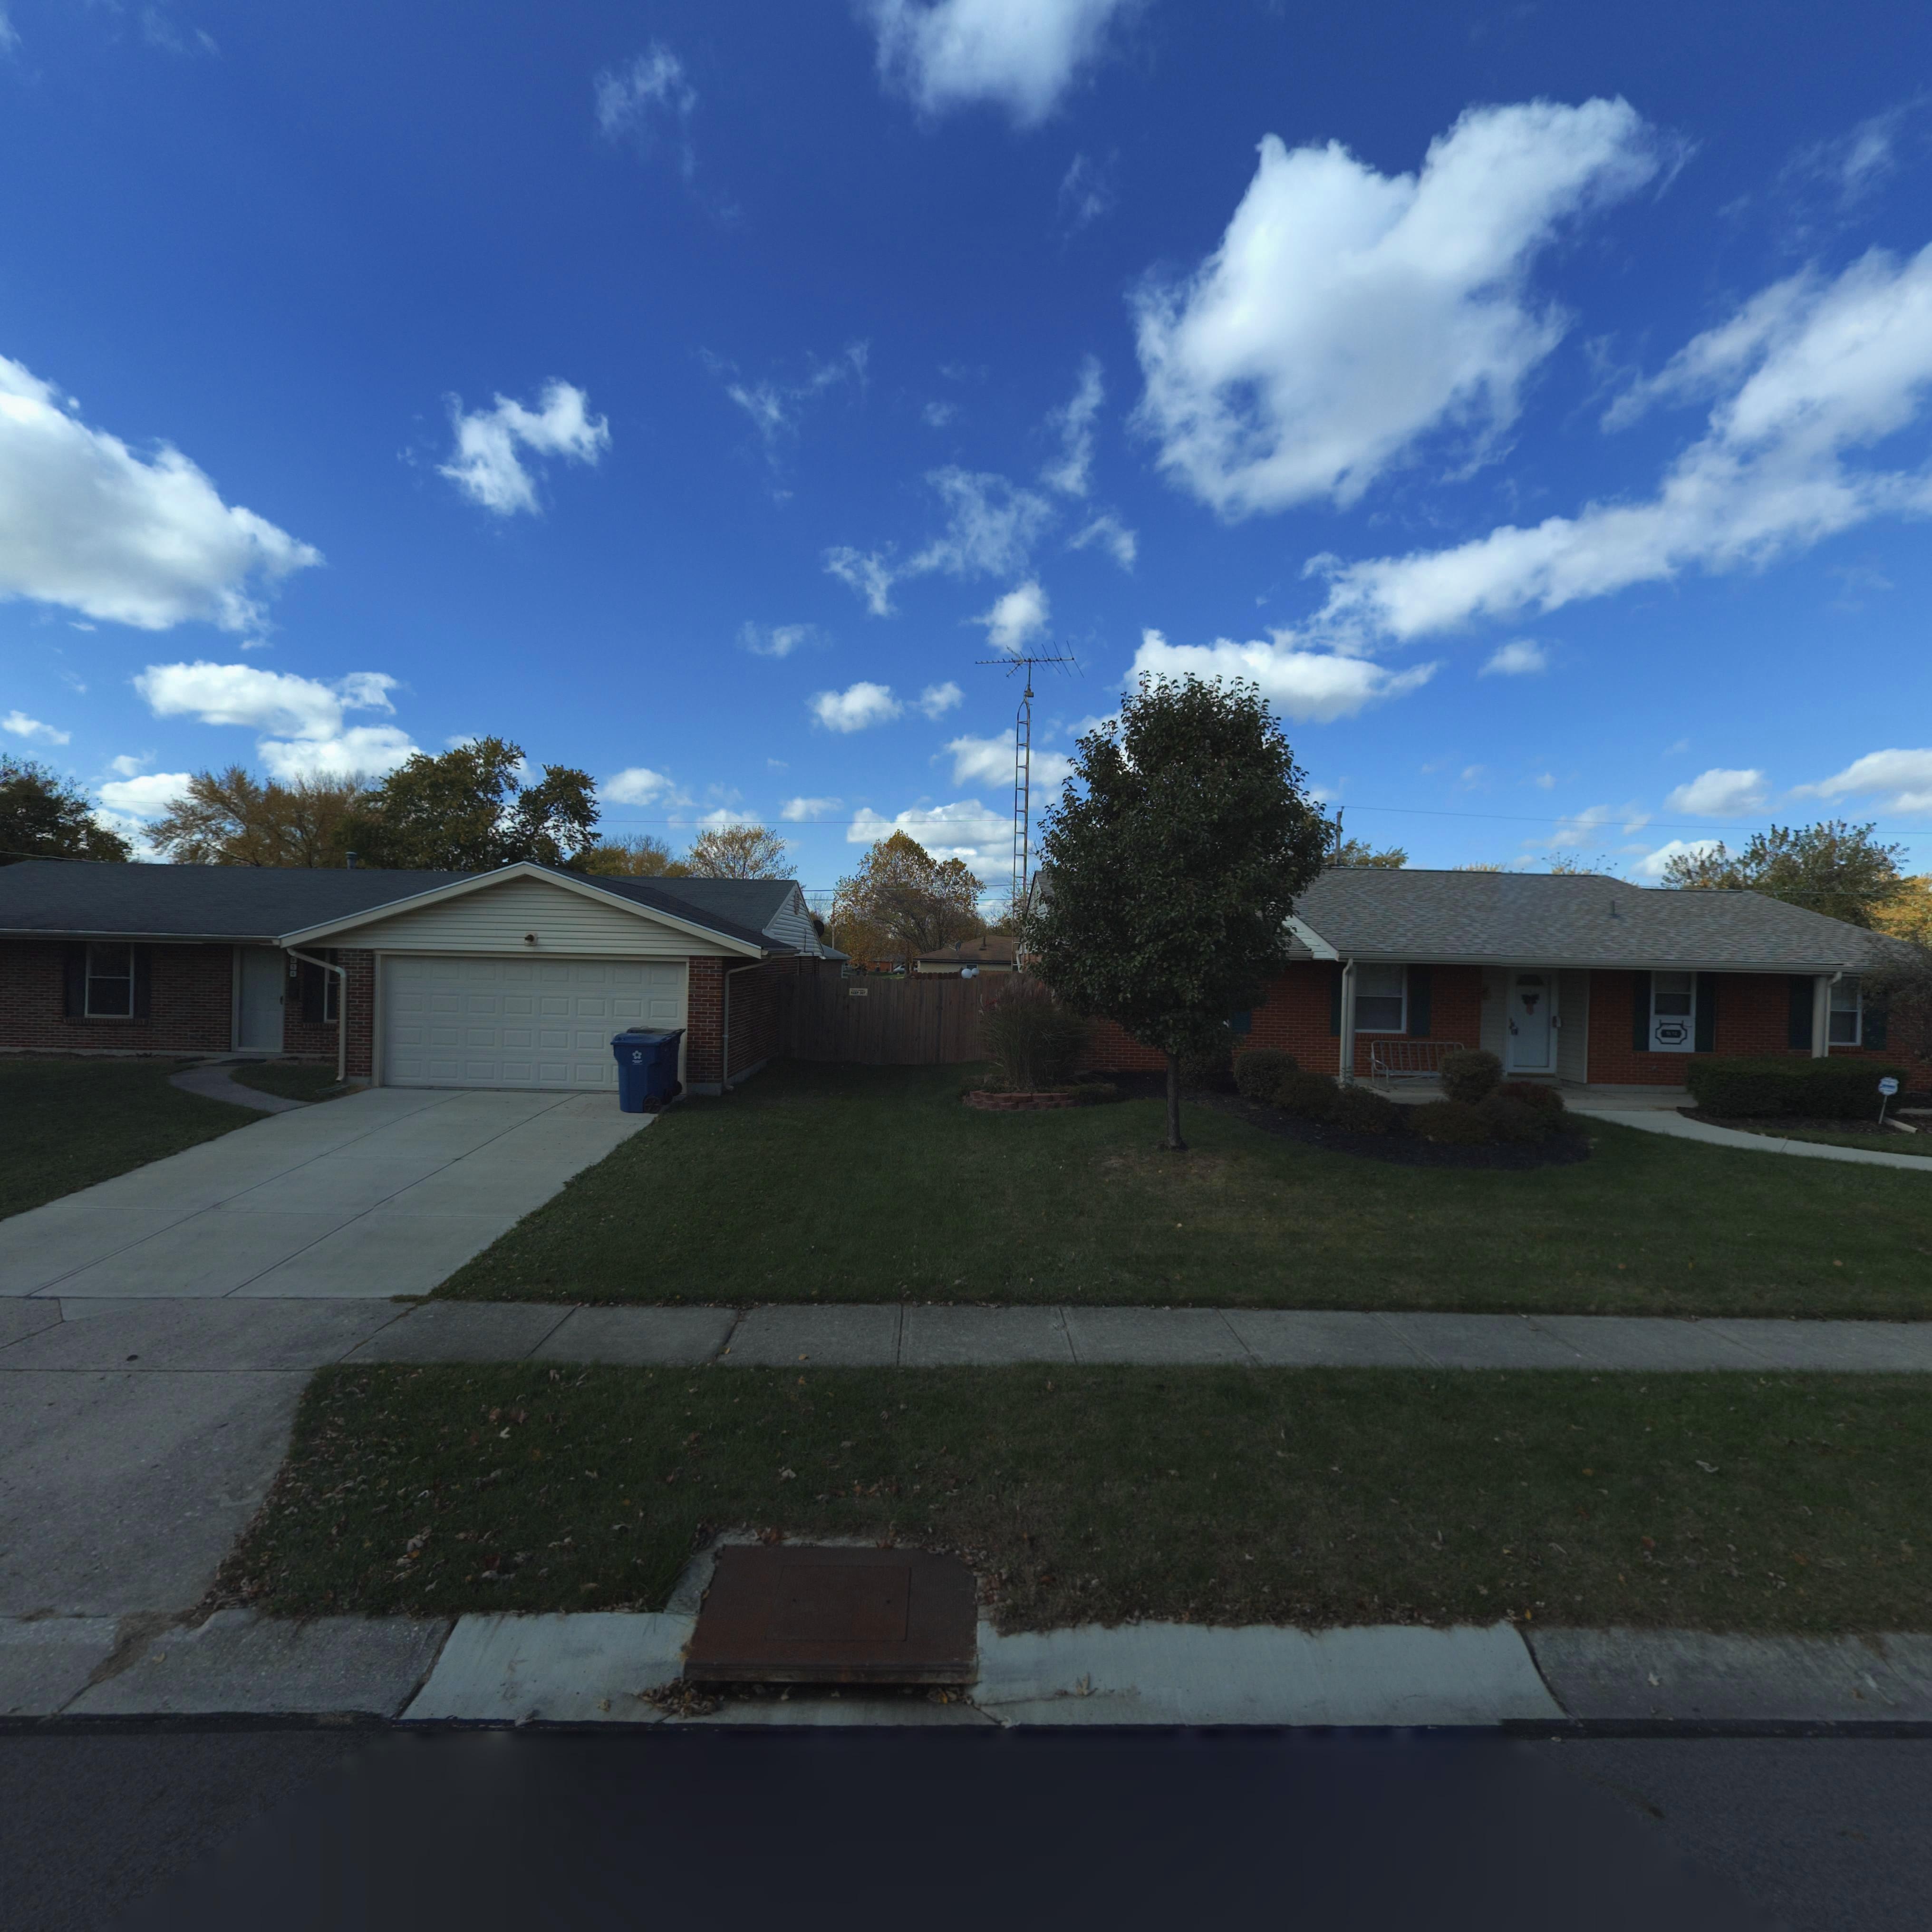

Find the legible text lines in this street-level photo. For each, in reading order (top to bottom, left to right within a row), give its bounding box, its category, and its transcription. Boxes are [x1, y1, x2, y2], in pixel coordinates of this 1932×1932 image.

[290, 956, 296, 976] StreetNumber: 654
[1665, 1030, 1678, 1036] StreetNumber: 7***